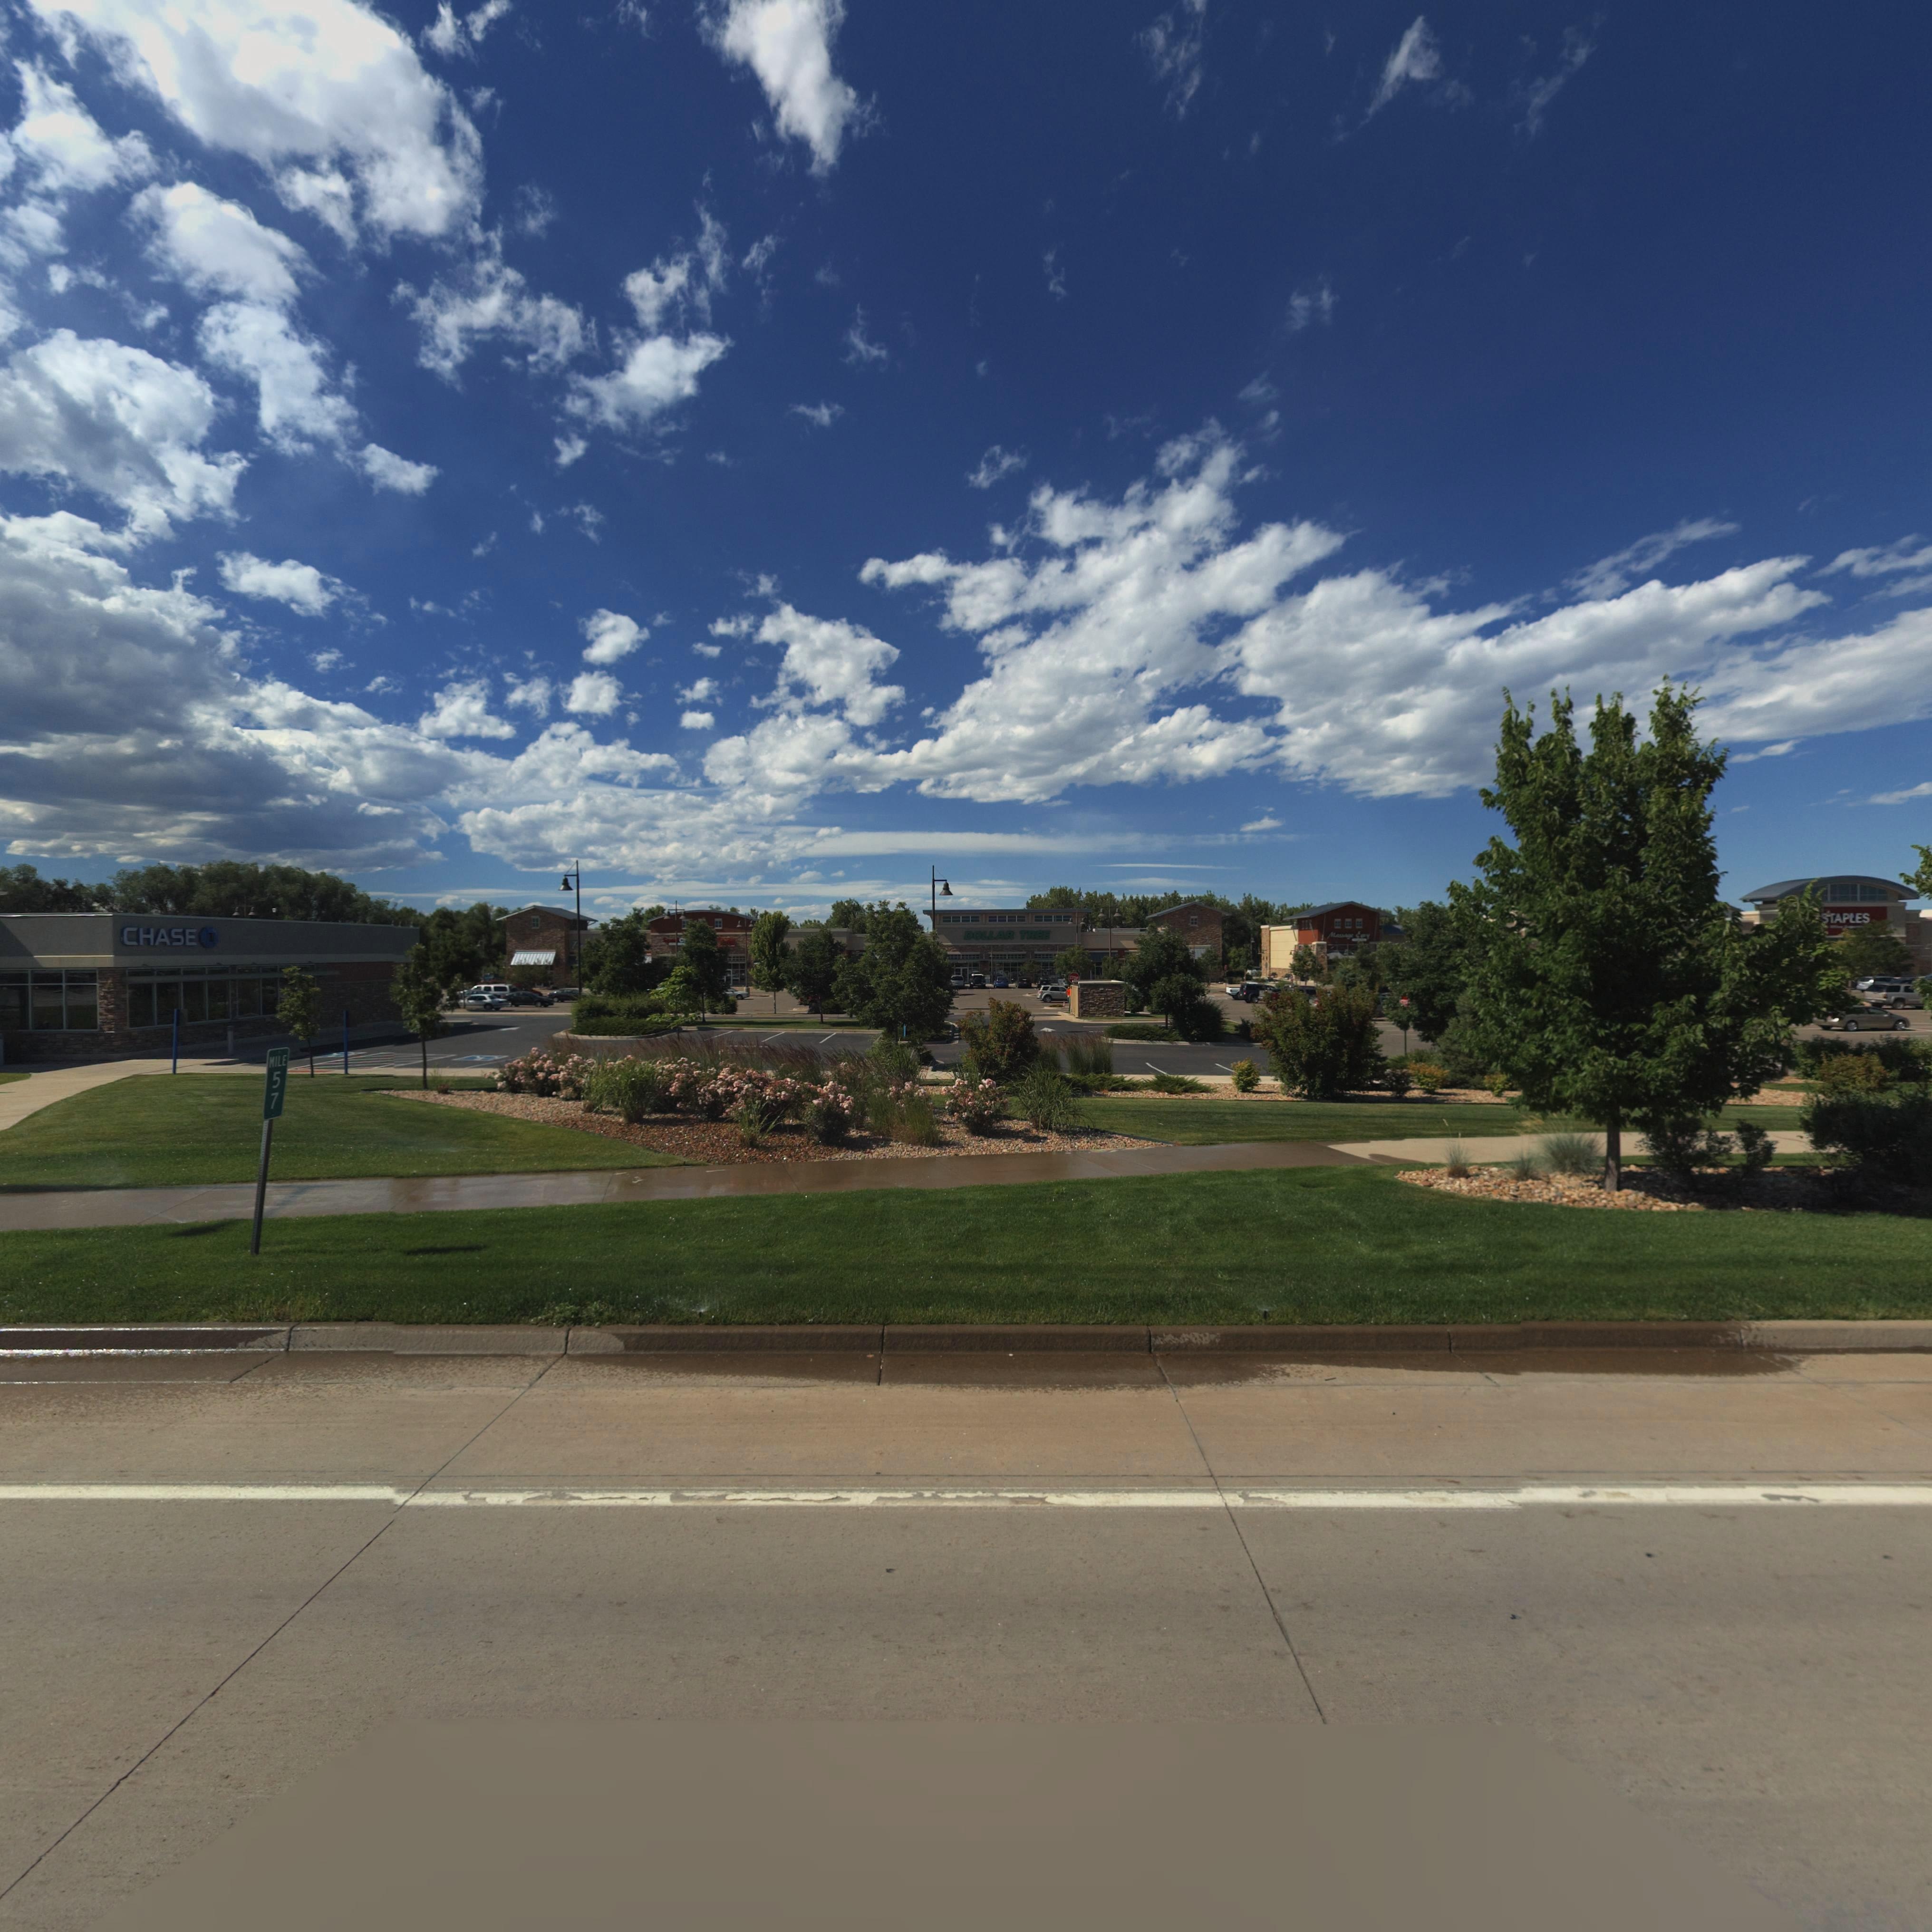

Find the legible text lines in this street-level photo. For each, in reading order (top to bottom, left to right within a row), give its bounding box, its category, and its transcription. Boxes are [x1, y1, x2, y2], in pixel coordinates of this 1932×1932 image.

[1820, 911, 1870, 924] BusinessName: STAPLES
[122, 927, 197, 946] BusinessName: CHASE
[662, 936, 683, 944] BusinessName: S**** C
[962, 929, 1051, 941] BusinessName: DOLLAR TREE
[1325, 929, 1372, 939] BusinessName: Massage Envy